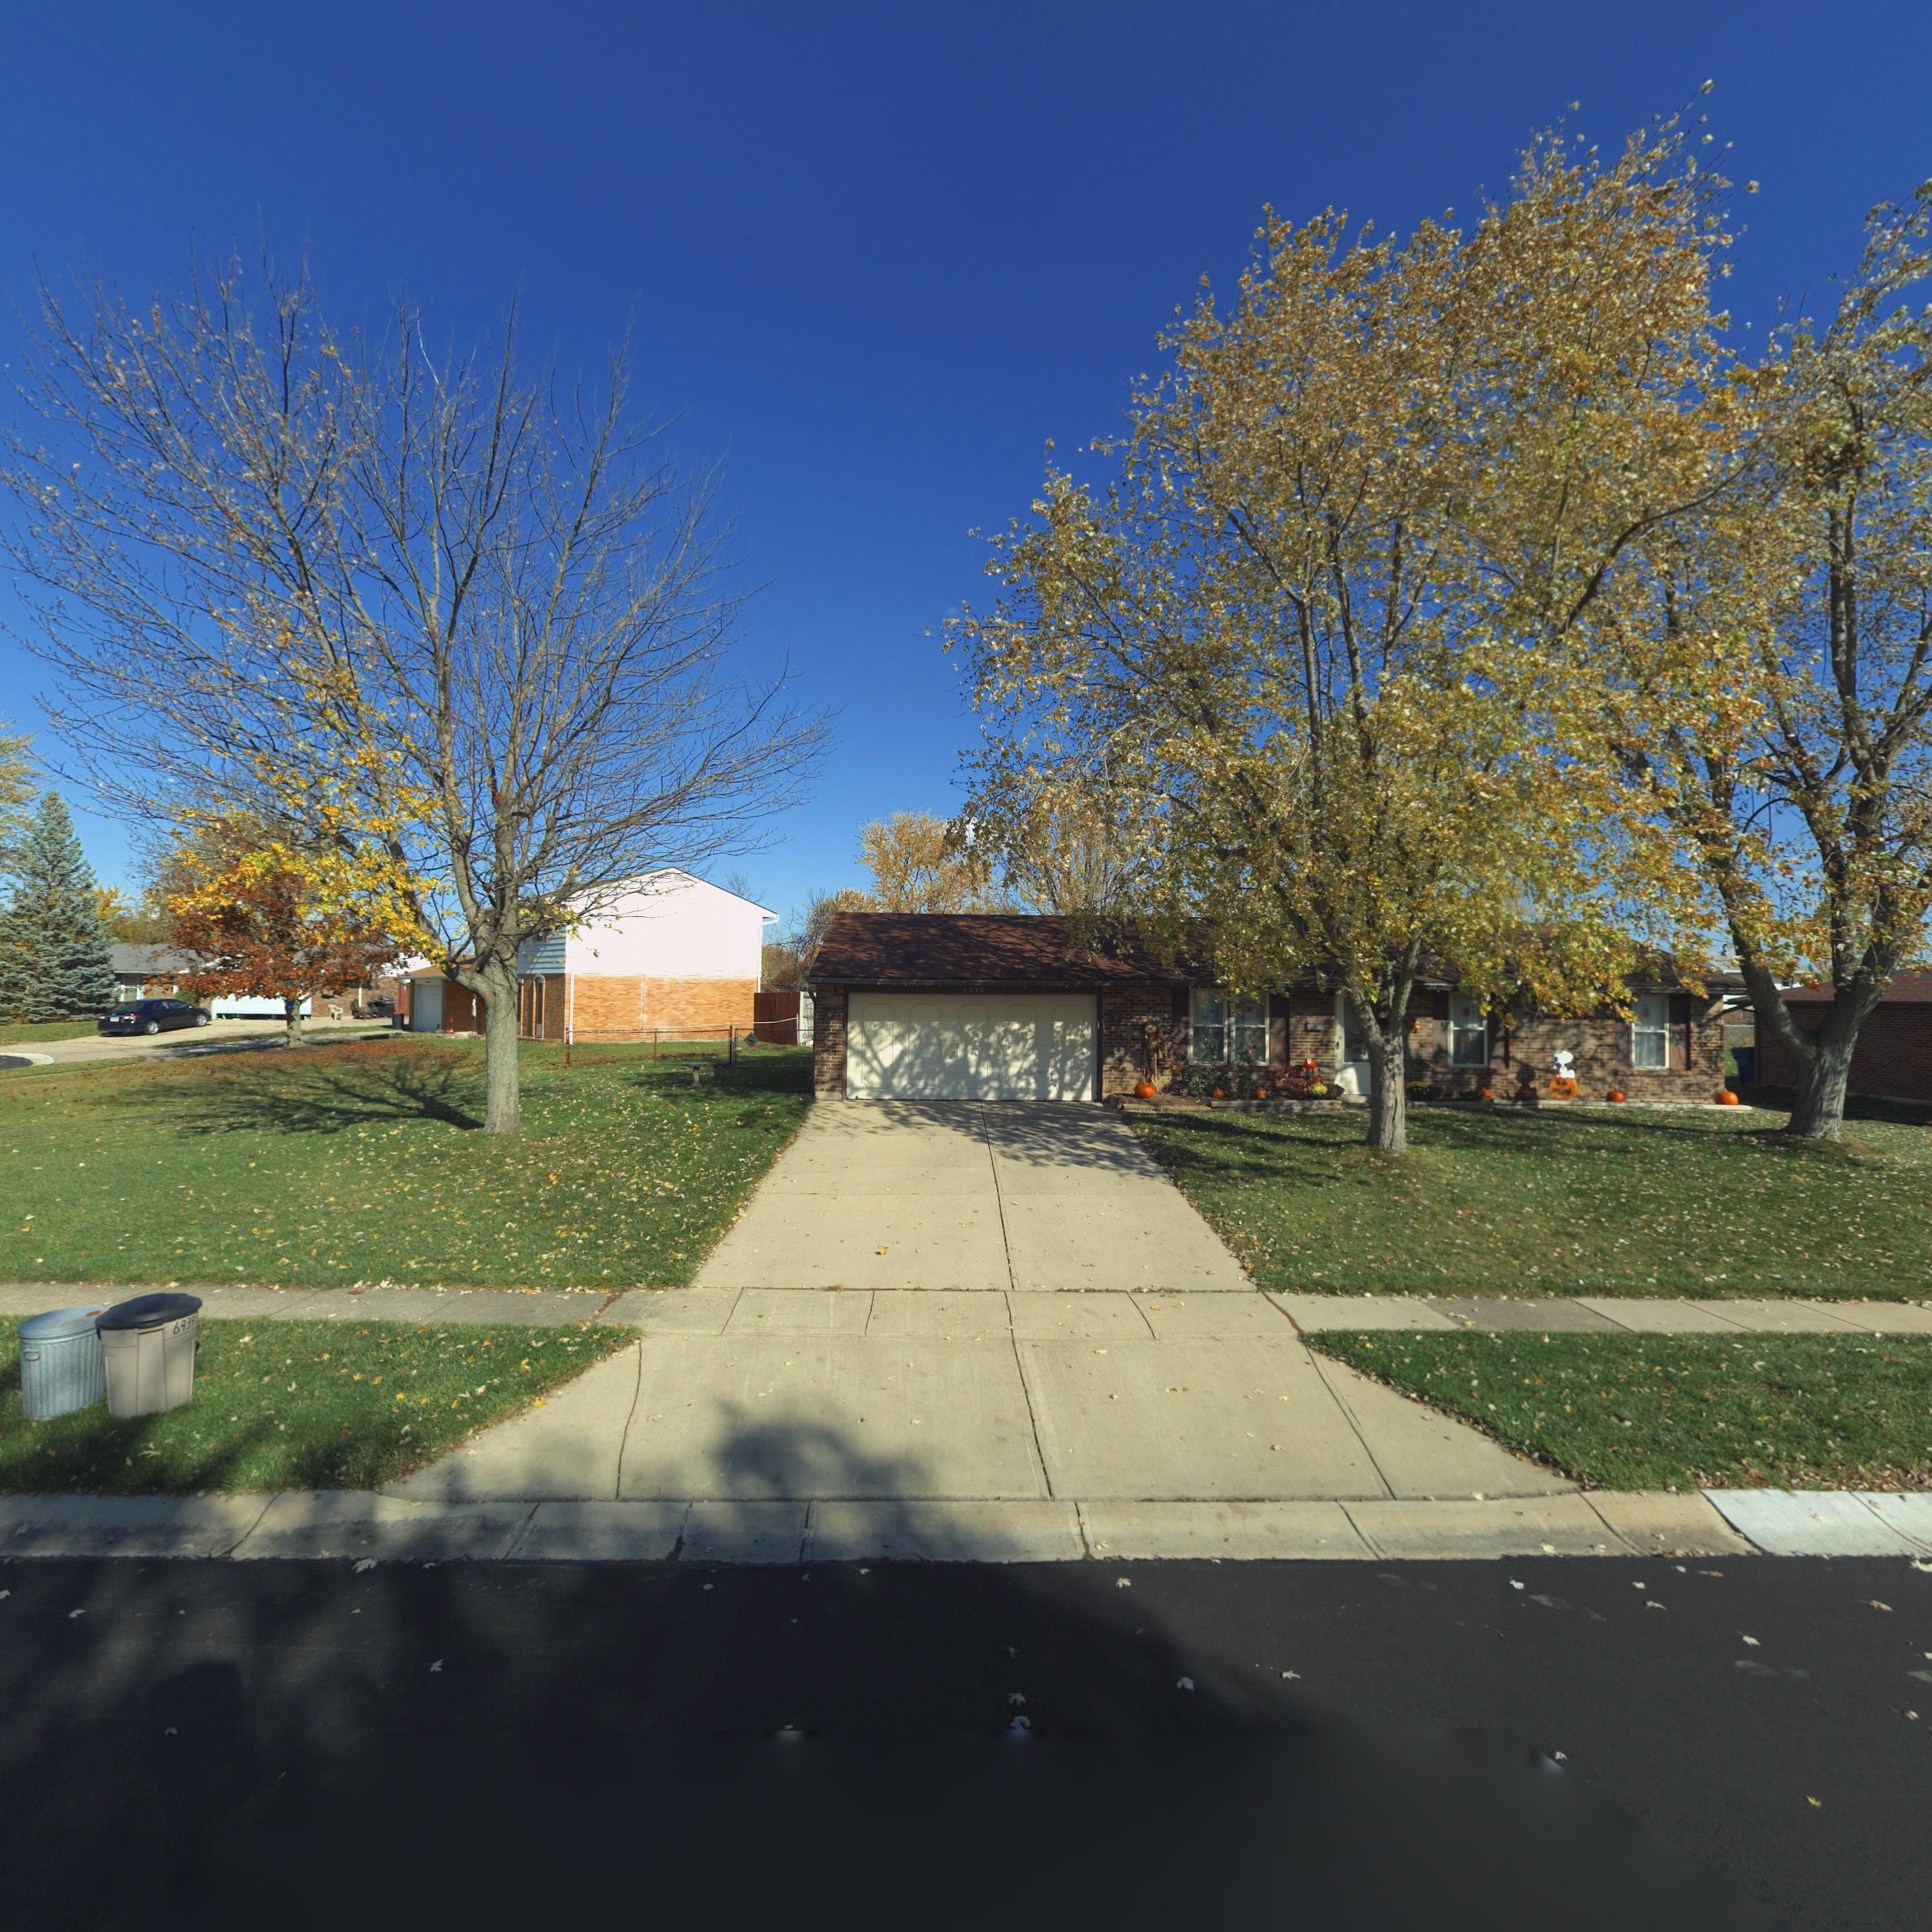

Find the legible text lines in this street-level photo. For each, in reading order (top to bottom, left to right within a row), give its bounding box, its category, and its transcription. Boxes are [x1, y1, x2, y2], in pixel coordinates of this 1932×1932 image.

[963, 986, 985, 994] StreetNumber: 6939
[172, 1314, 196, 1335] StreetNumber: 6939